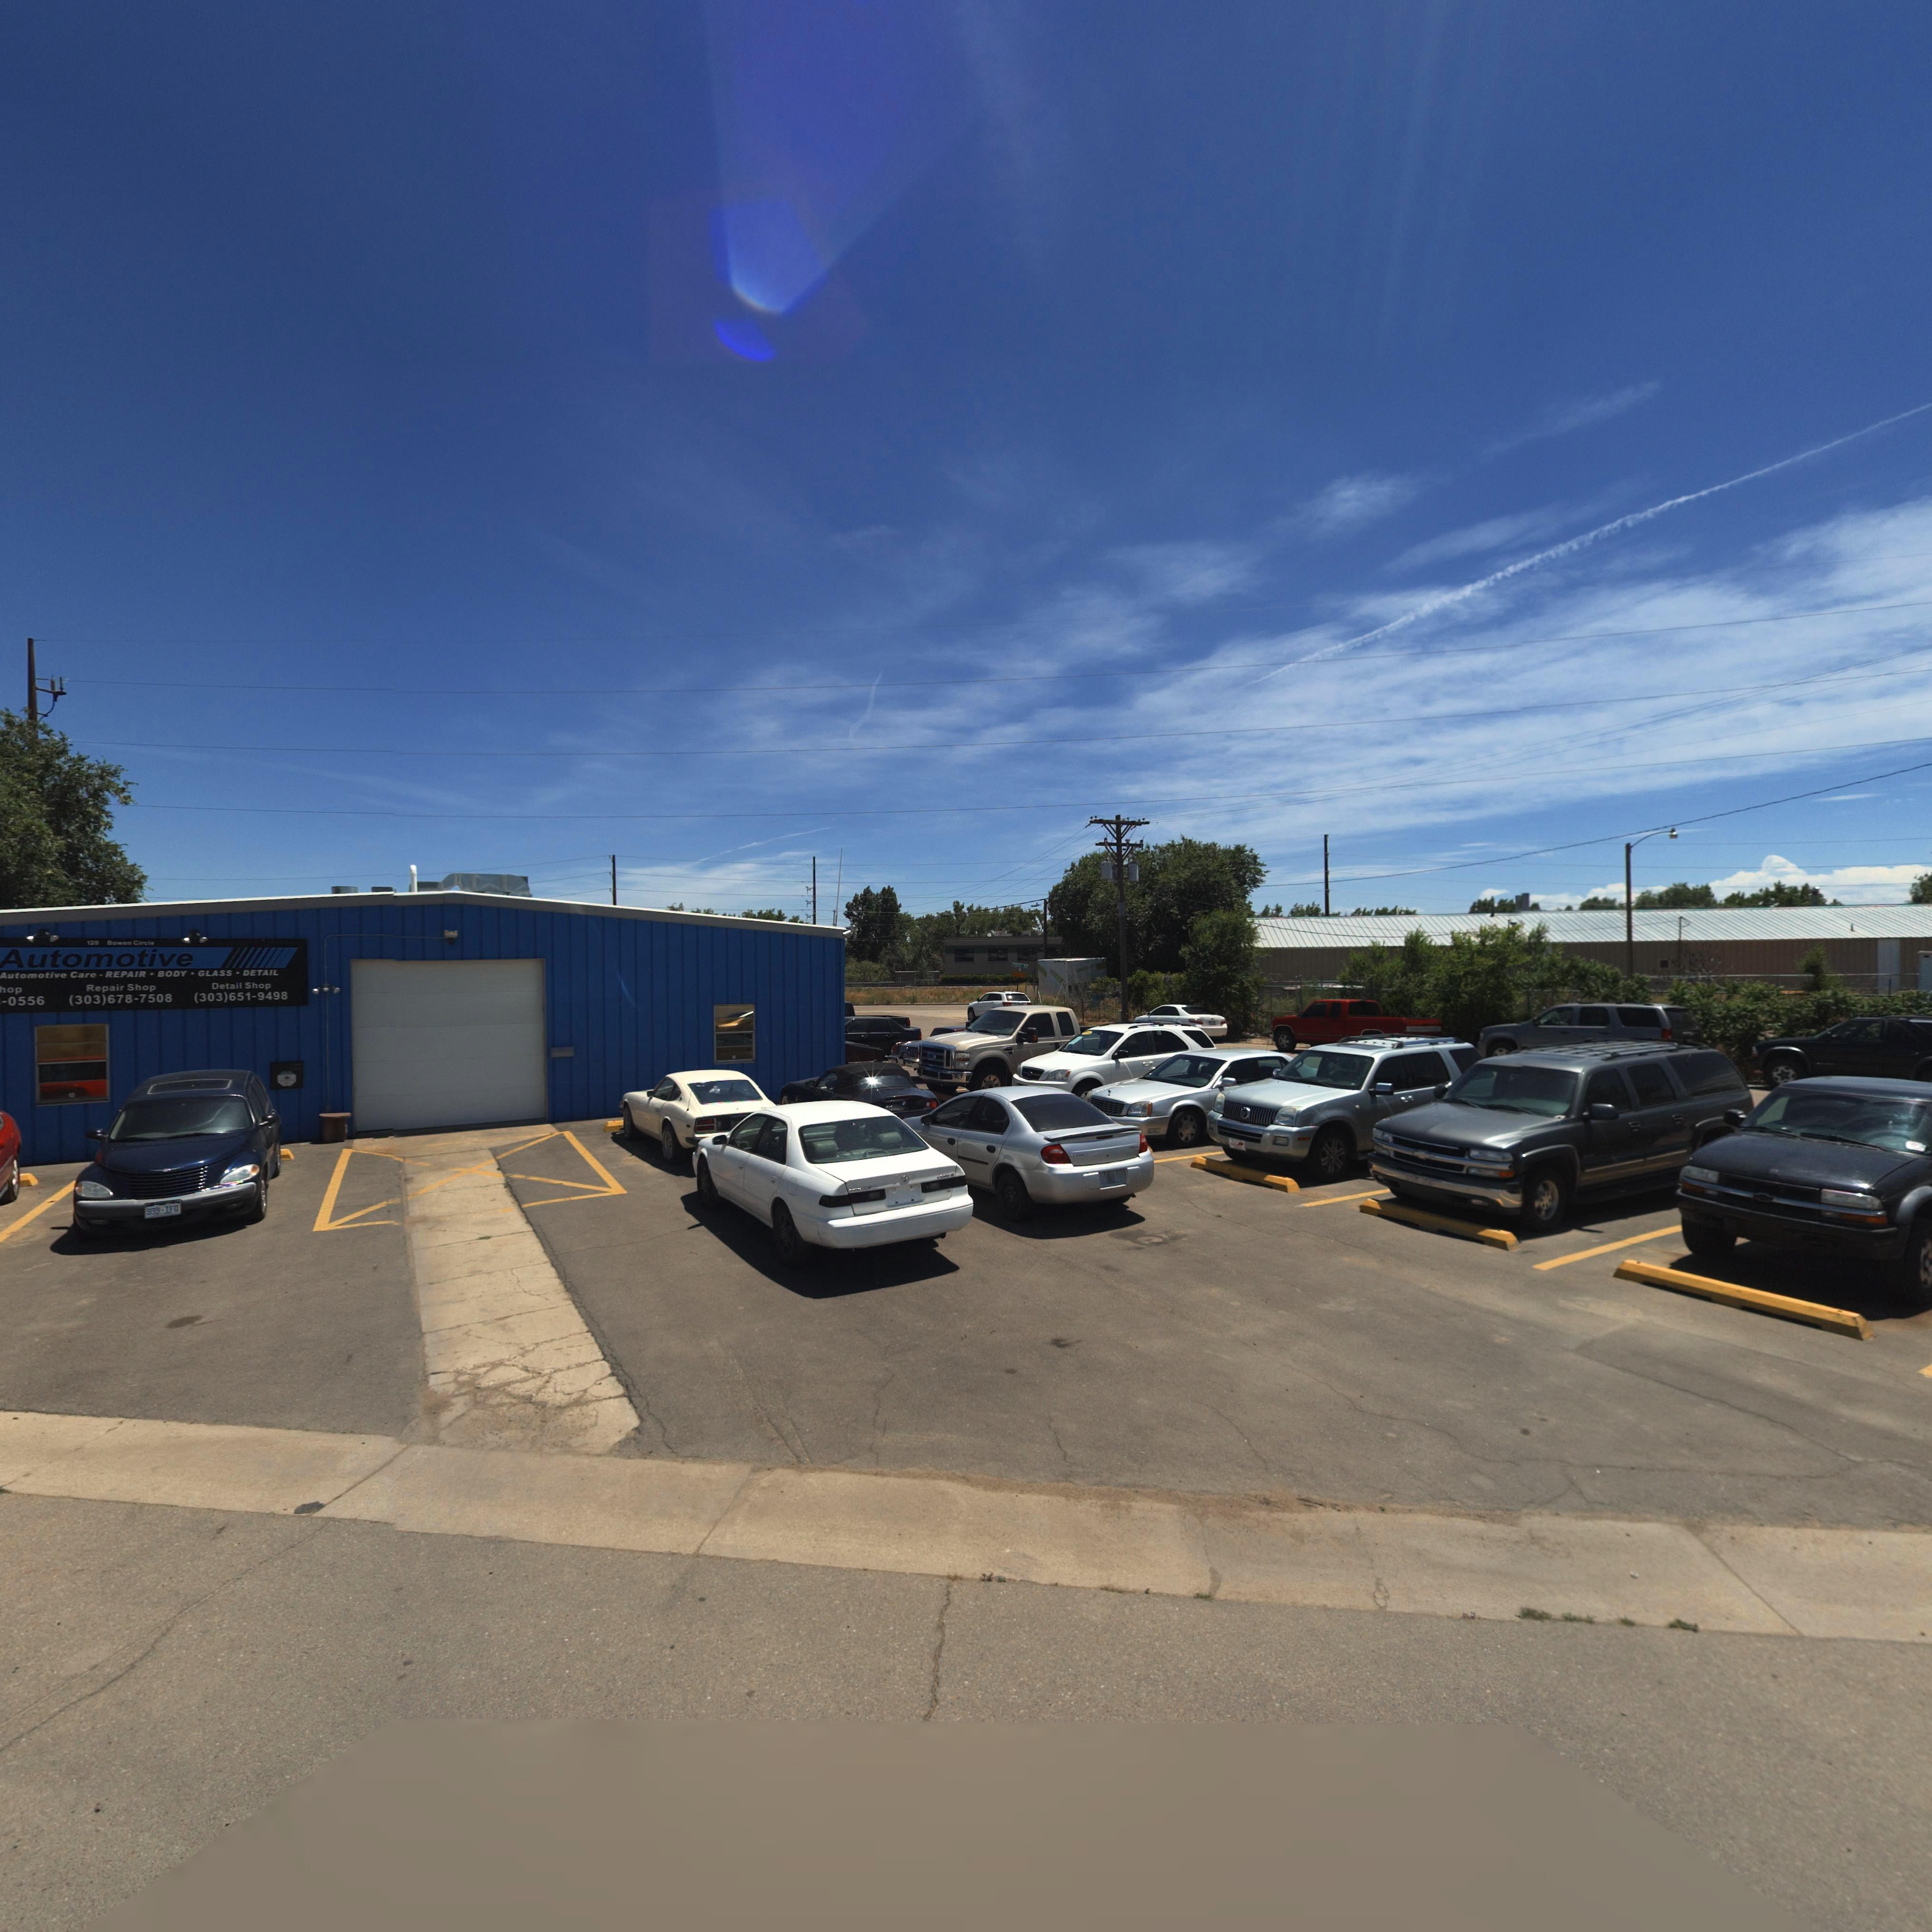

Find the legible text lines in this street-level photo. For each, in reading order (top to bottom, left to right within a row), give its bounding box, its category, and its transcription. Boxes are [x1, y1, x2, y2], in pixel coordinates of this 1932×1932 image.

[86, 939, 98, 945] StreetNumber: 12*
[106, 940, 155, 946] BusinessName: Bowen Circle
[26, 947, 194, 968] BusinessName: utomotive